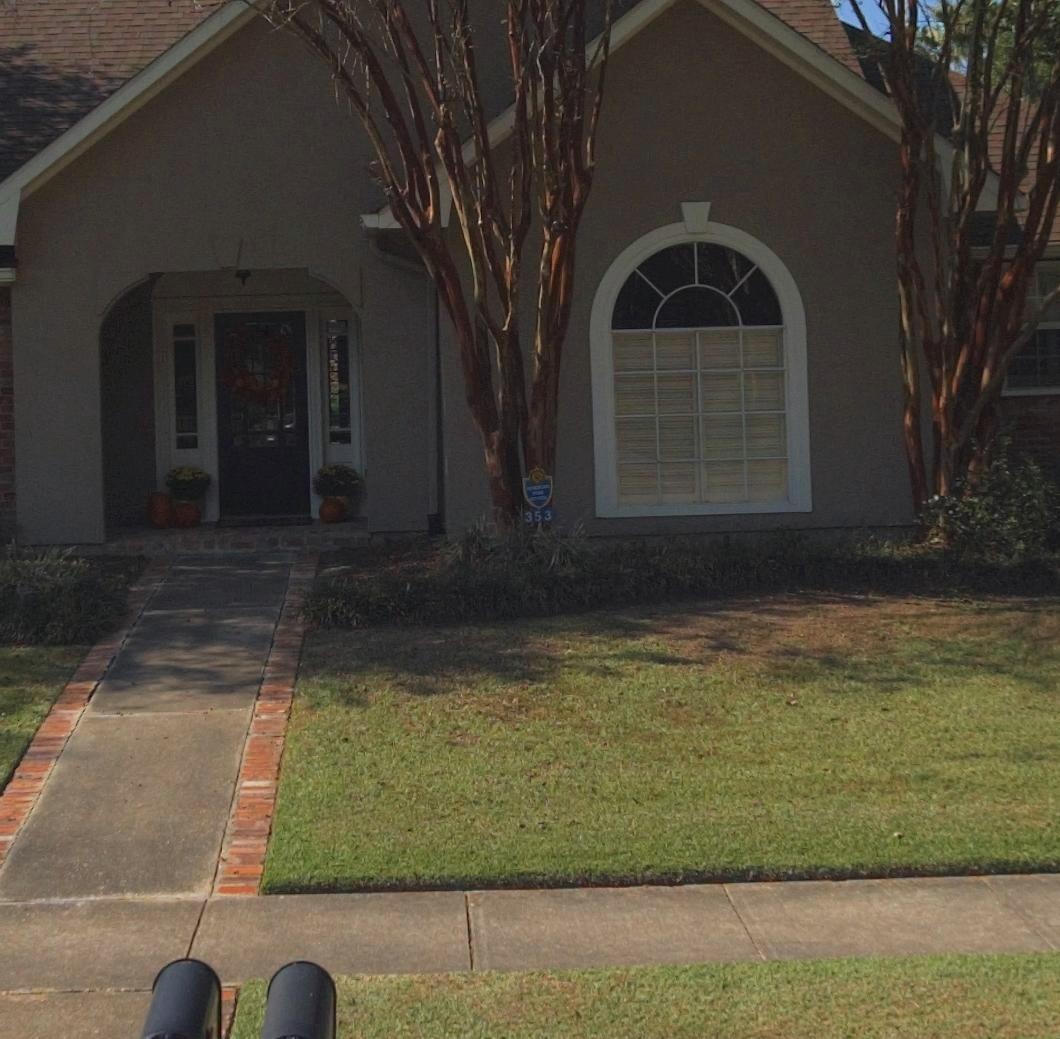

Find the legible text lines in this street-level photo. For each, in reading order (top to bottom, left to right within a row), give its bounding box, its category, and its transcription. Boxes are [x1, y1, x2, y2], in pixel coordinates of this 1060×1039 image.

[525, 510, 553, 523] StreetNumber: 353